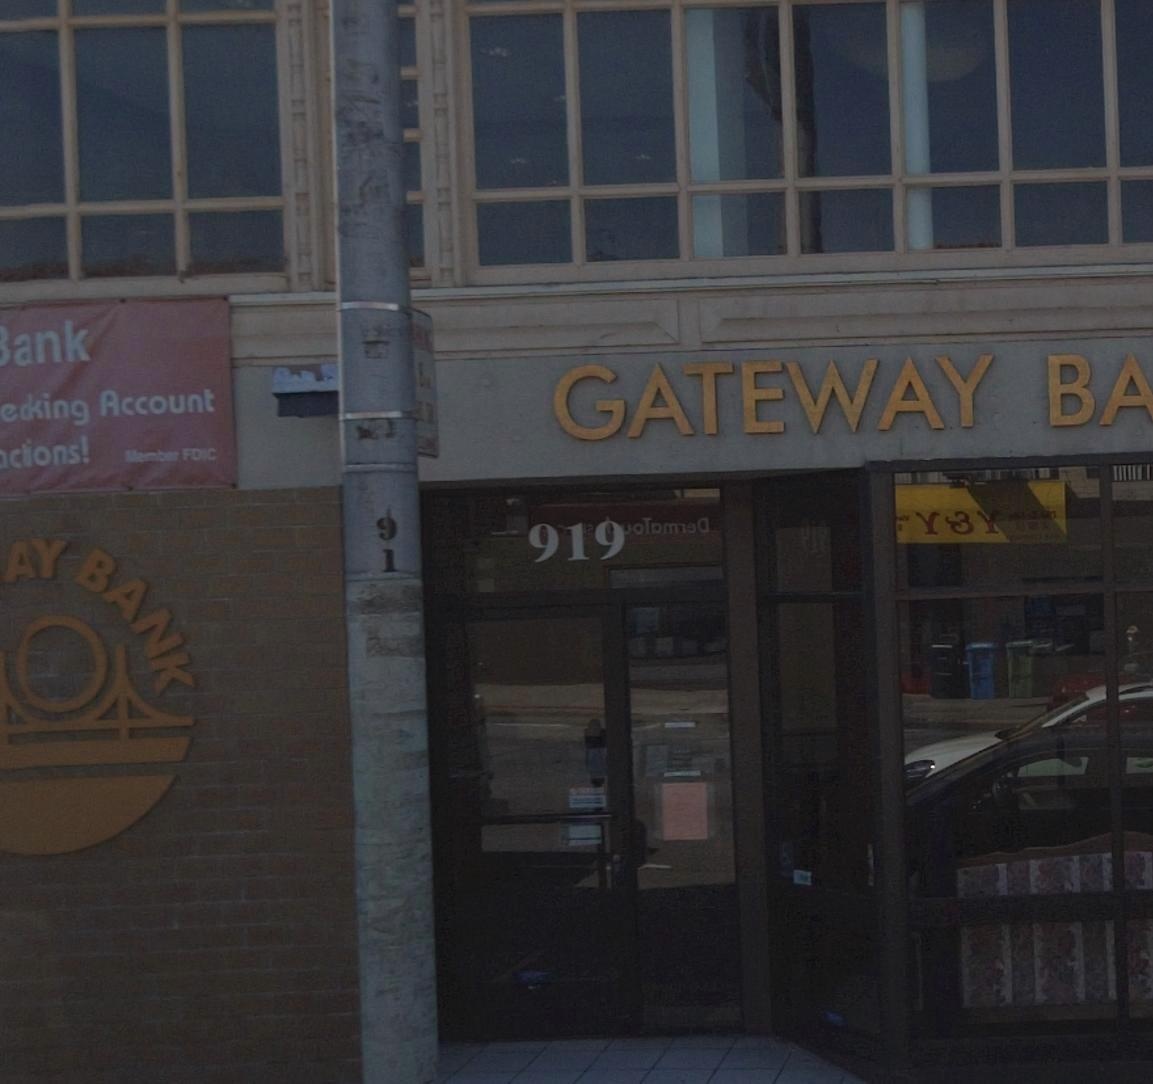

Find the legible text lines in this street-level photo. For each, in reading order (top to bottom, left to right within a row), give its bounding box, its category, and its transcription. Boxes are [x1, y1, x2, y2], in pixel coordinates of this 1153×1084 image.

[11, 316, 94, 368] None: ank
[0, 384, 220, 428] None: eking Account
[550, 349, 1098, 443] BusinessName: GATEWAY B
[8, 432, 92, 473] None: c*ons!
[123, 442, 220, 467] None: Member FDIC
[371, 511, 403, 579] None: 91
[527, 517, 626, 563] StreetNumber: 919
[631, 514, 711, 537] None: *T*m***
[911, 508, 1003, 538] None: Y*Y
[3, 533, 198, 699] BusinessName: AY BANK